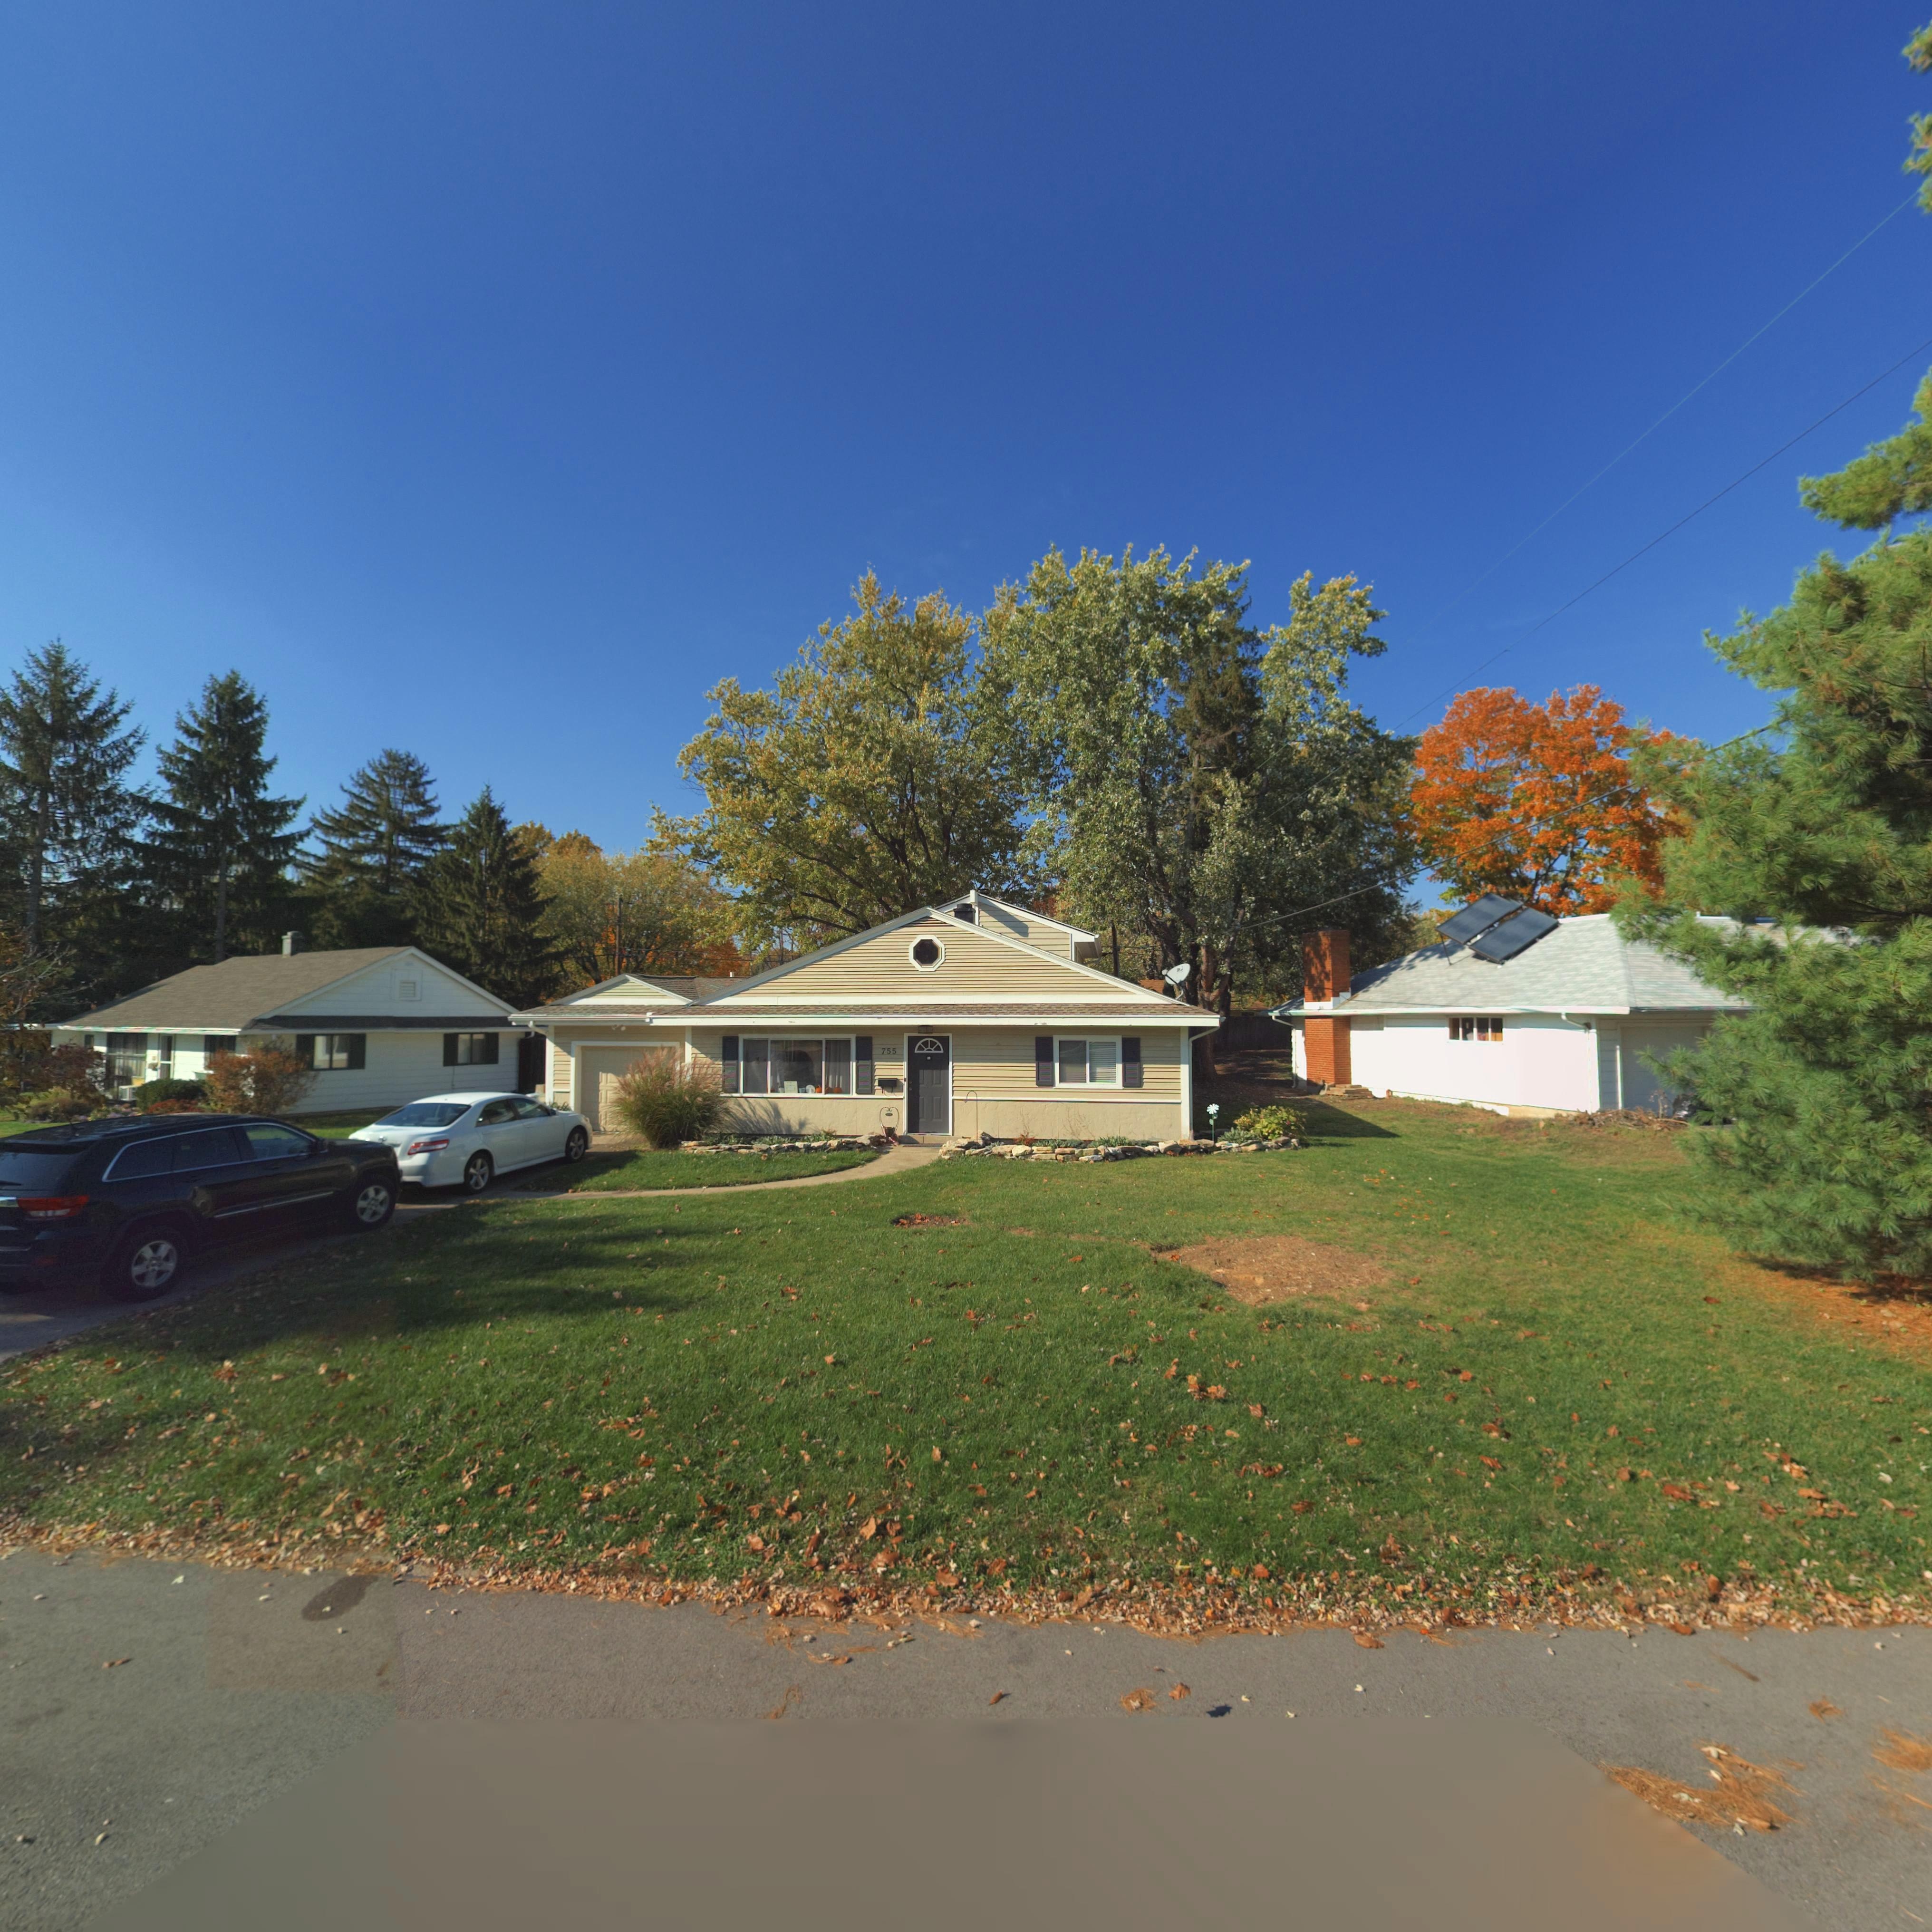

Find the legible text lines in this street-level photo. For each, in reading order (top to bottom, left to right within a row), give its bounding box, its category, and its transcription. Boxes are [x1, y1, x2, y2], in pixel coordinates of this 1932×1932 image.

[881, 1047, 897, 1054] StreetNumber: 755